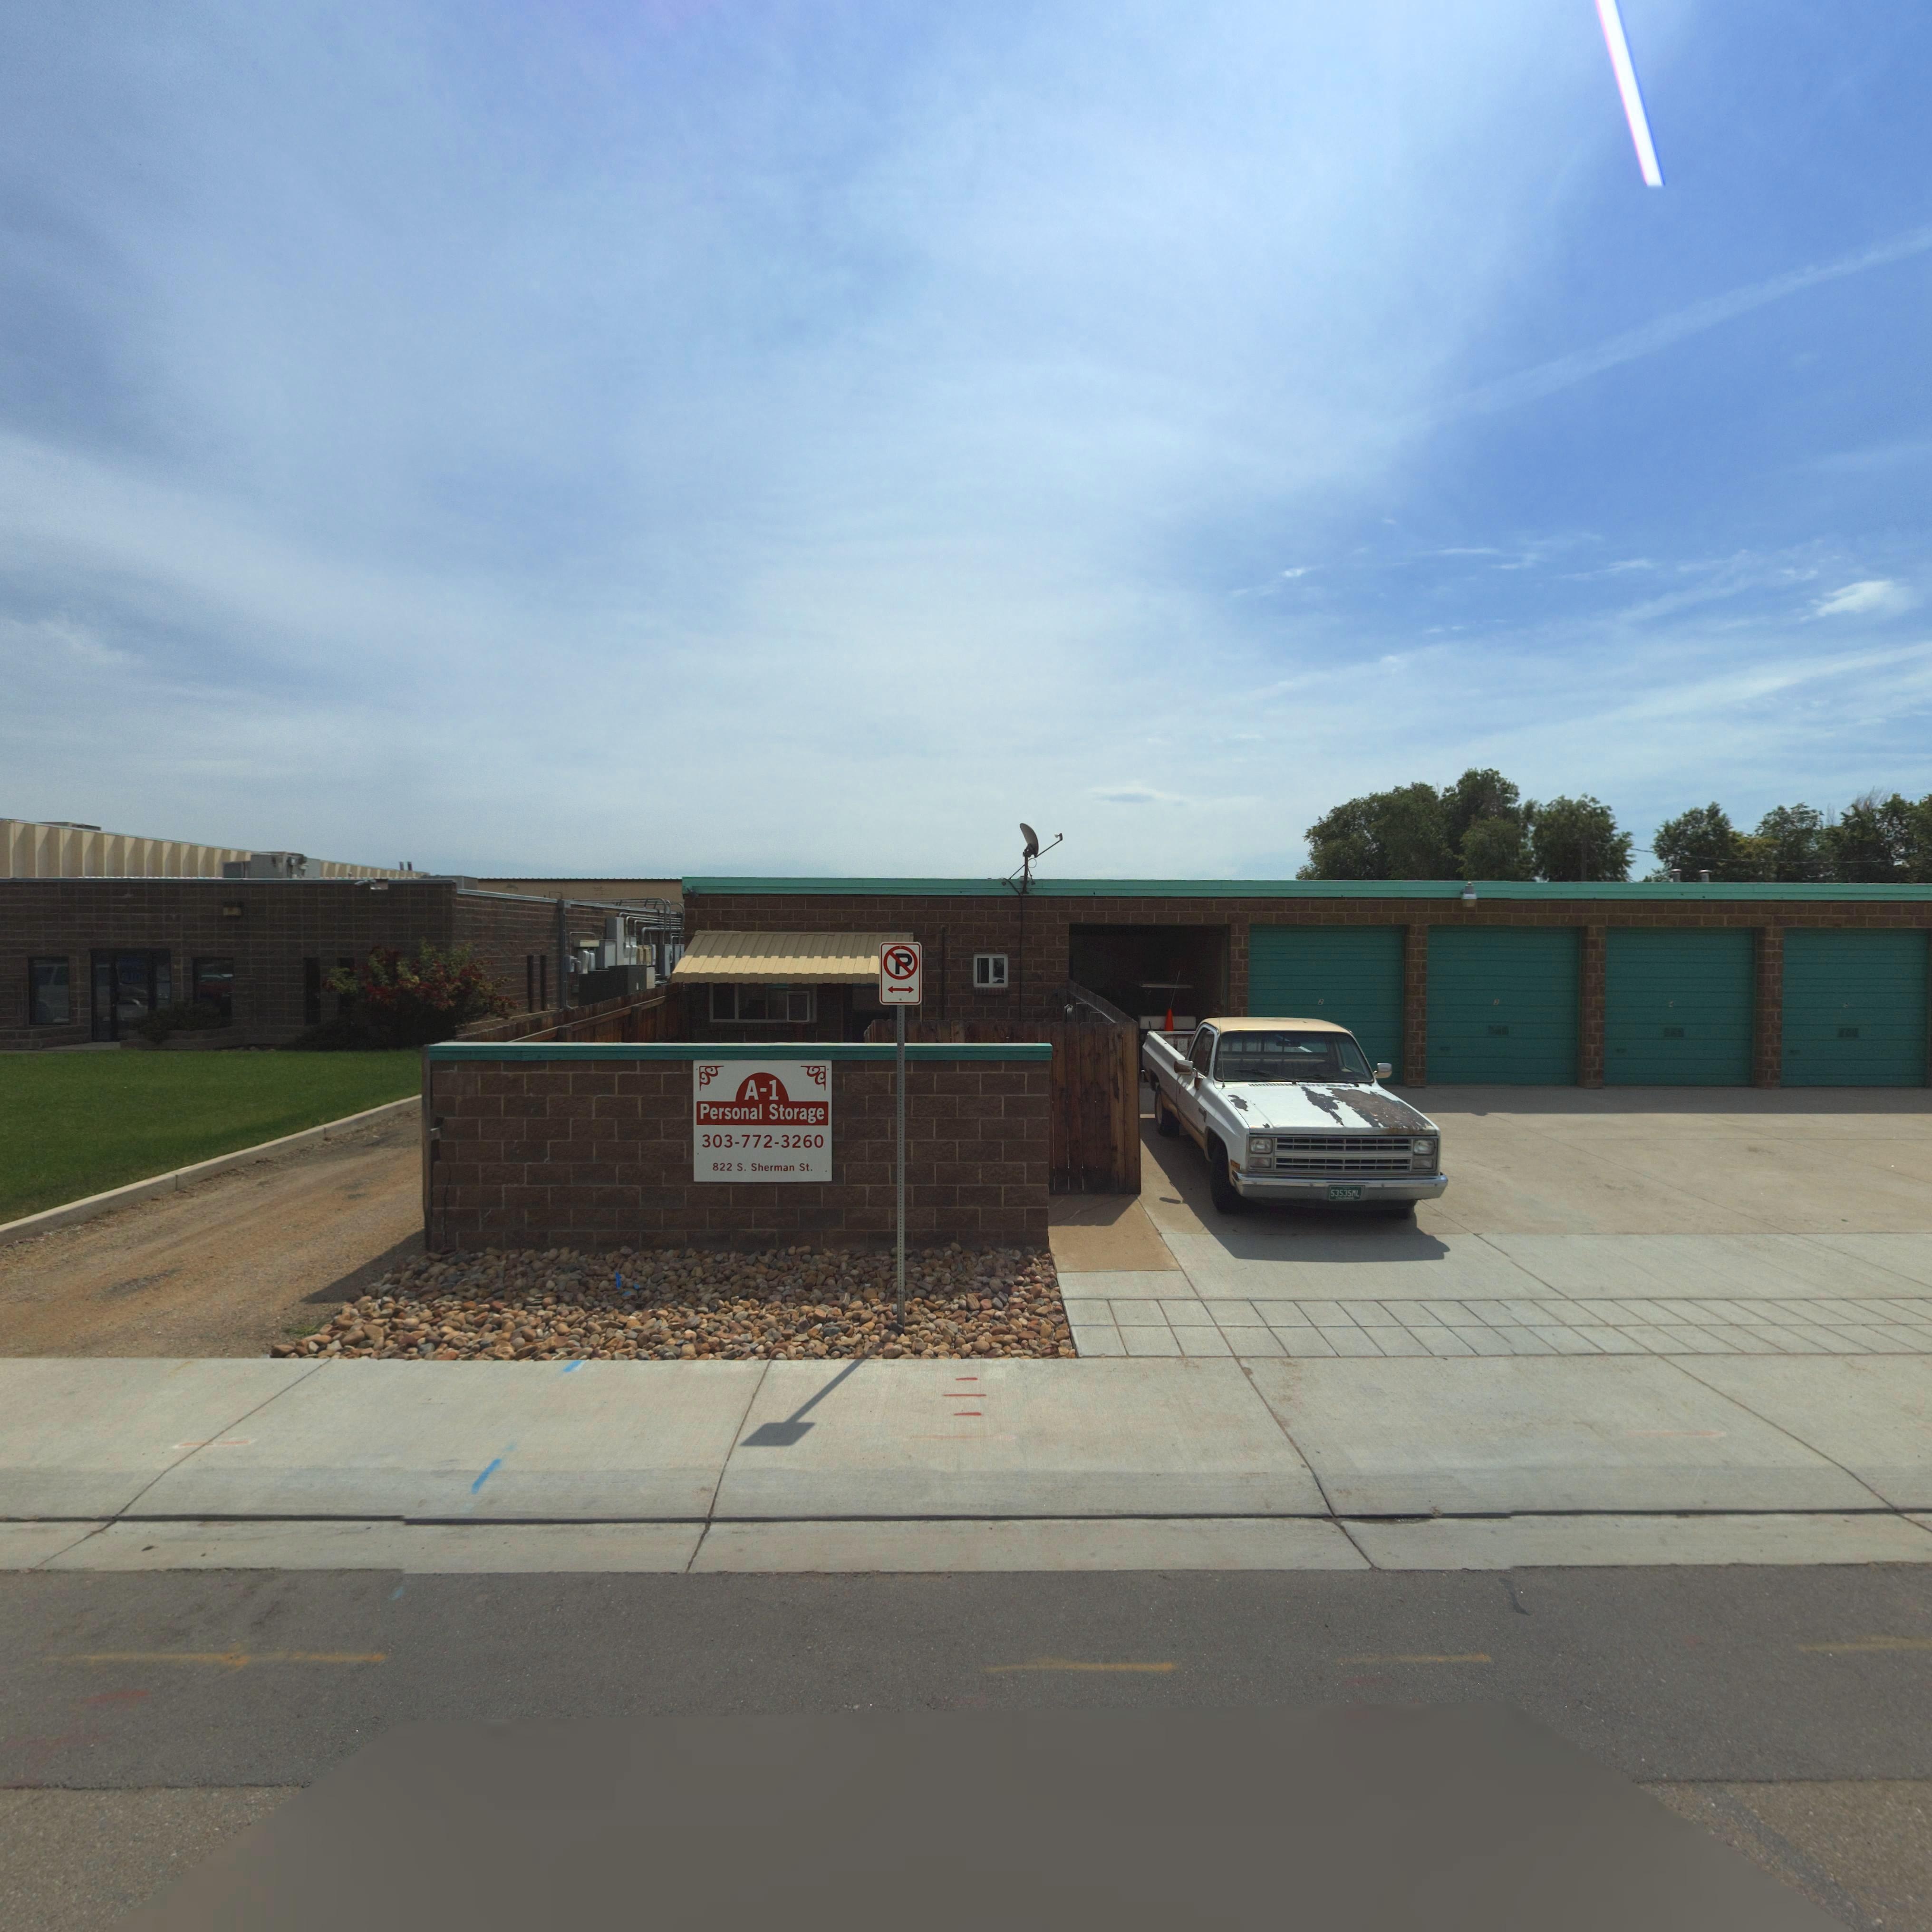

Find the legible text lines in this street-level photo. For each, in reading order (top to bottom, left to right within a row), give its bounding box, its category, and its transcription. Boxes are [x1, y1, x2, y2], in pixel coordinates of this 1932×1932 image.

[743, 1078, 779, 1101] BusinessName: A-1
[699, 1102, 825, 1124] BusinessName: Personal Storage
[711, 1161, 733, 1171] StreetNumber: 822
[735, 1161, 813, 1172] StreetName: S. Sherman St.